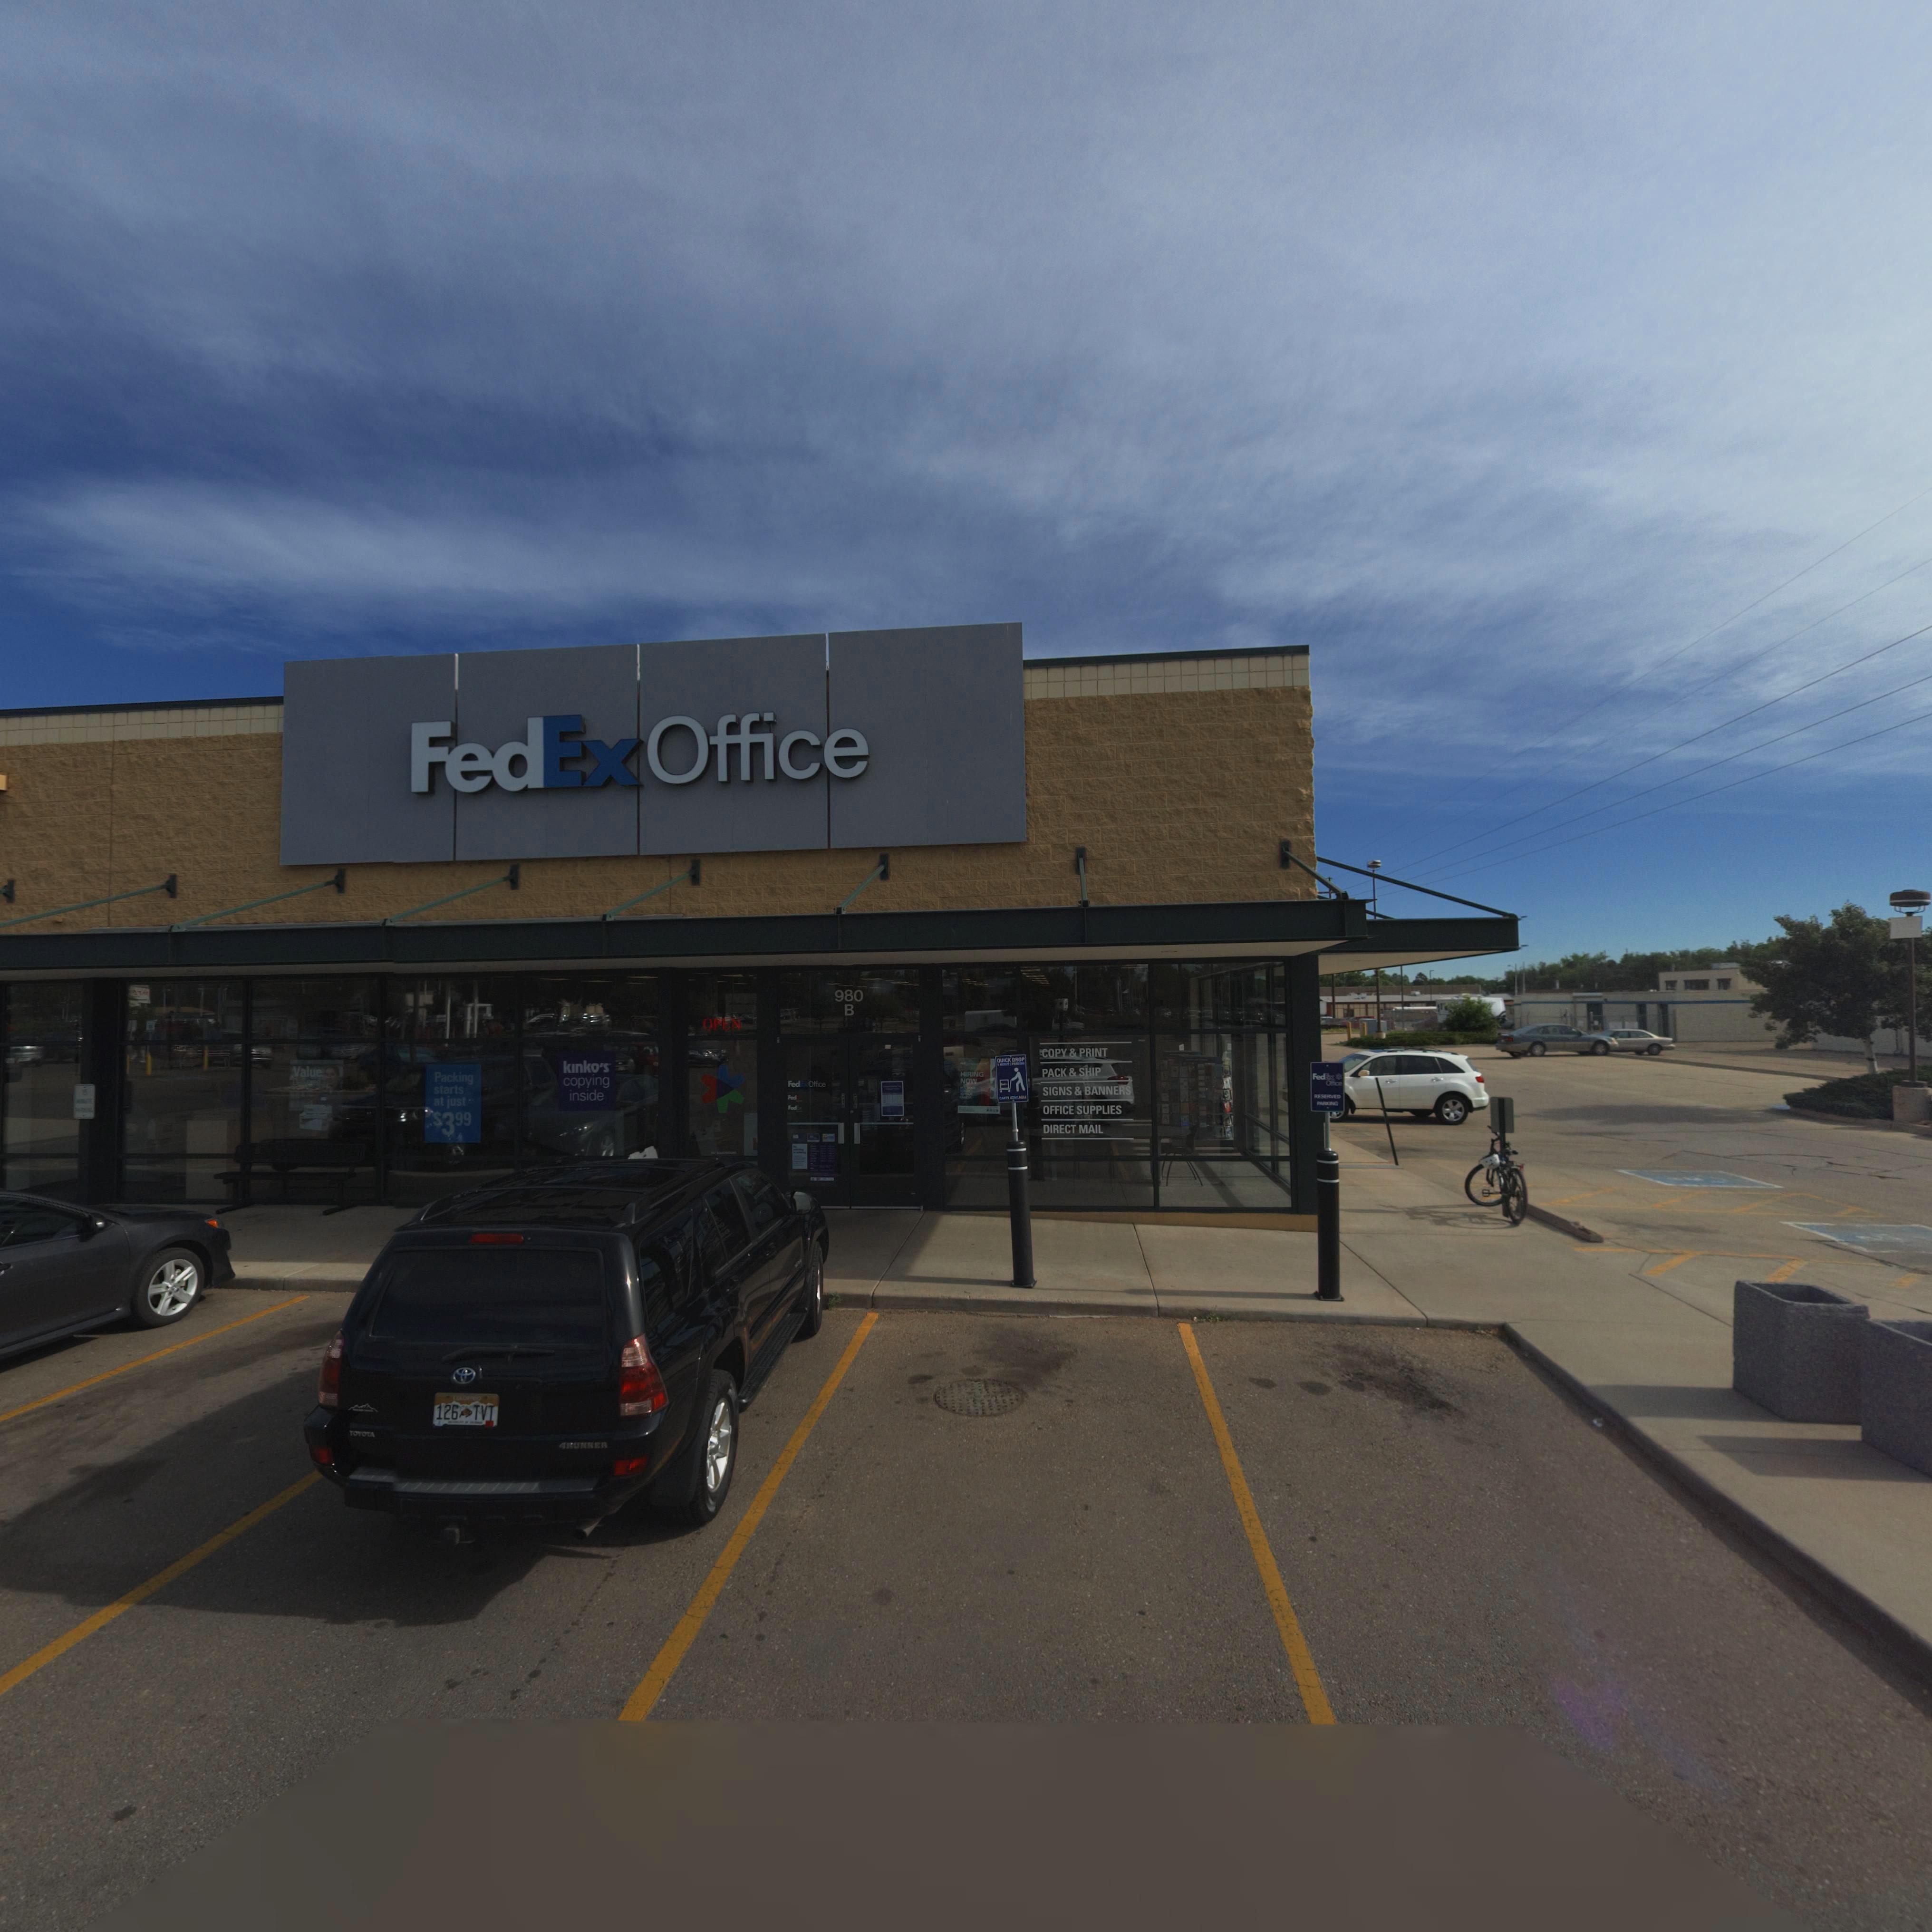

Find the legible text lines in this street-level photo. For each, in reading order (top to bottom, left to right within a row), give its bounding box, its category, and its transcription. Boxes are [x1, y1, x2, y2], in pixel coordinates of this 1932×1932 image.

[408, 707, 869, 795] BusinessName: FedEx Office
[834, 990, 864, 1002] StreetNumber: 980
[1313, 1073, 1334, 1080] BusinessName: Fed*x
[788, 1080, 826, 1087] BusinessName: FedEx Office
[1325, 1080, 1343, 1086] BusinessName: Office
[788, 1095, 802, 1100] BusinessName: Fed**
[788, 1105, 802, 1110] BusinessName: FedEx